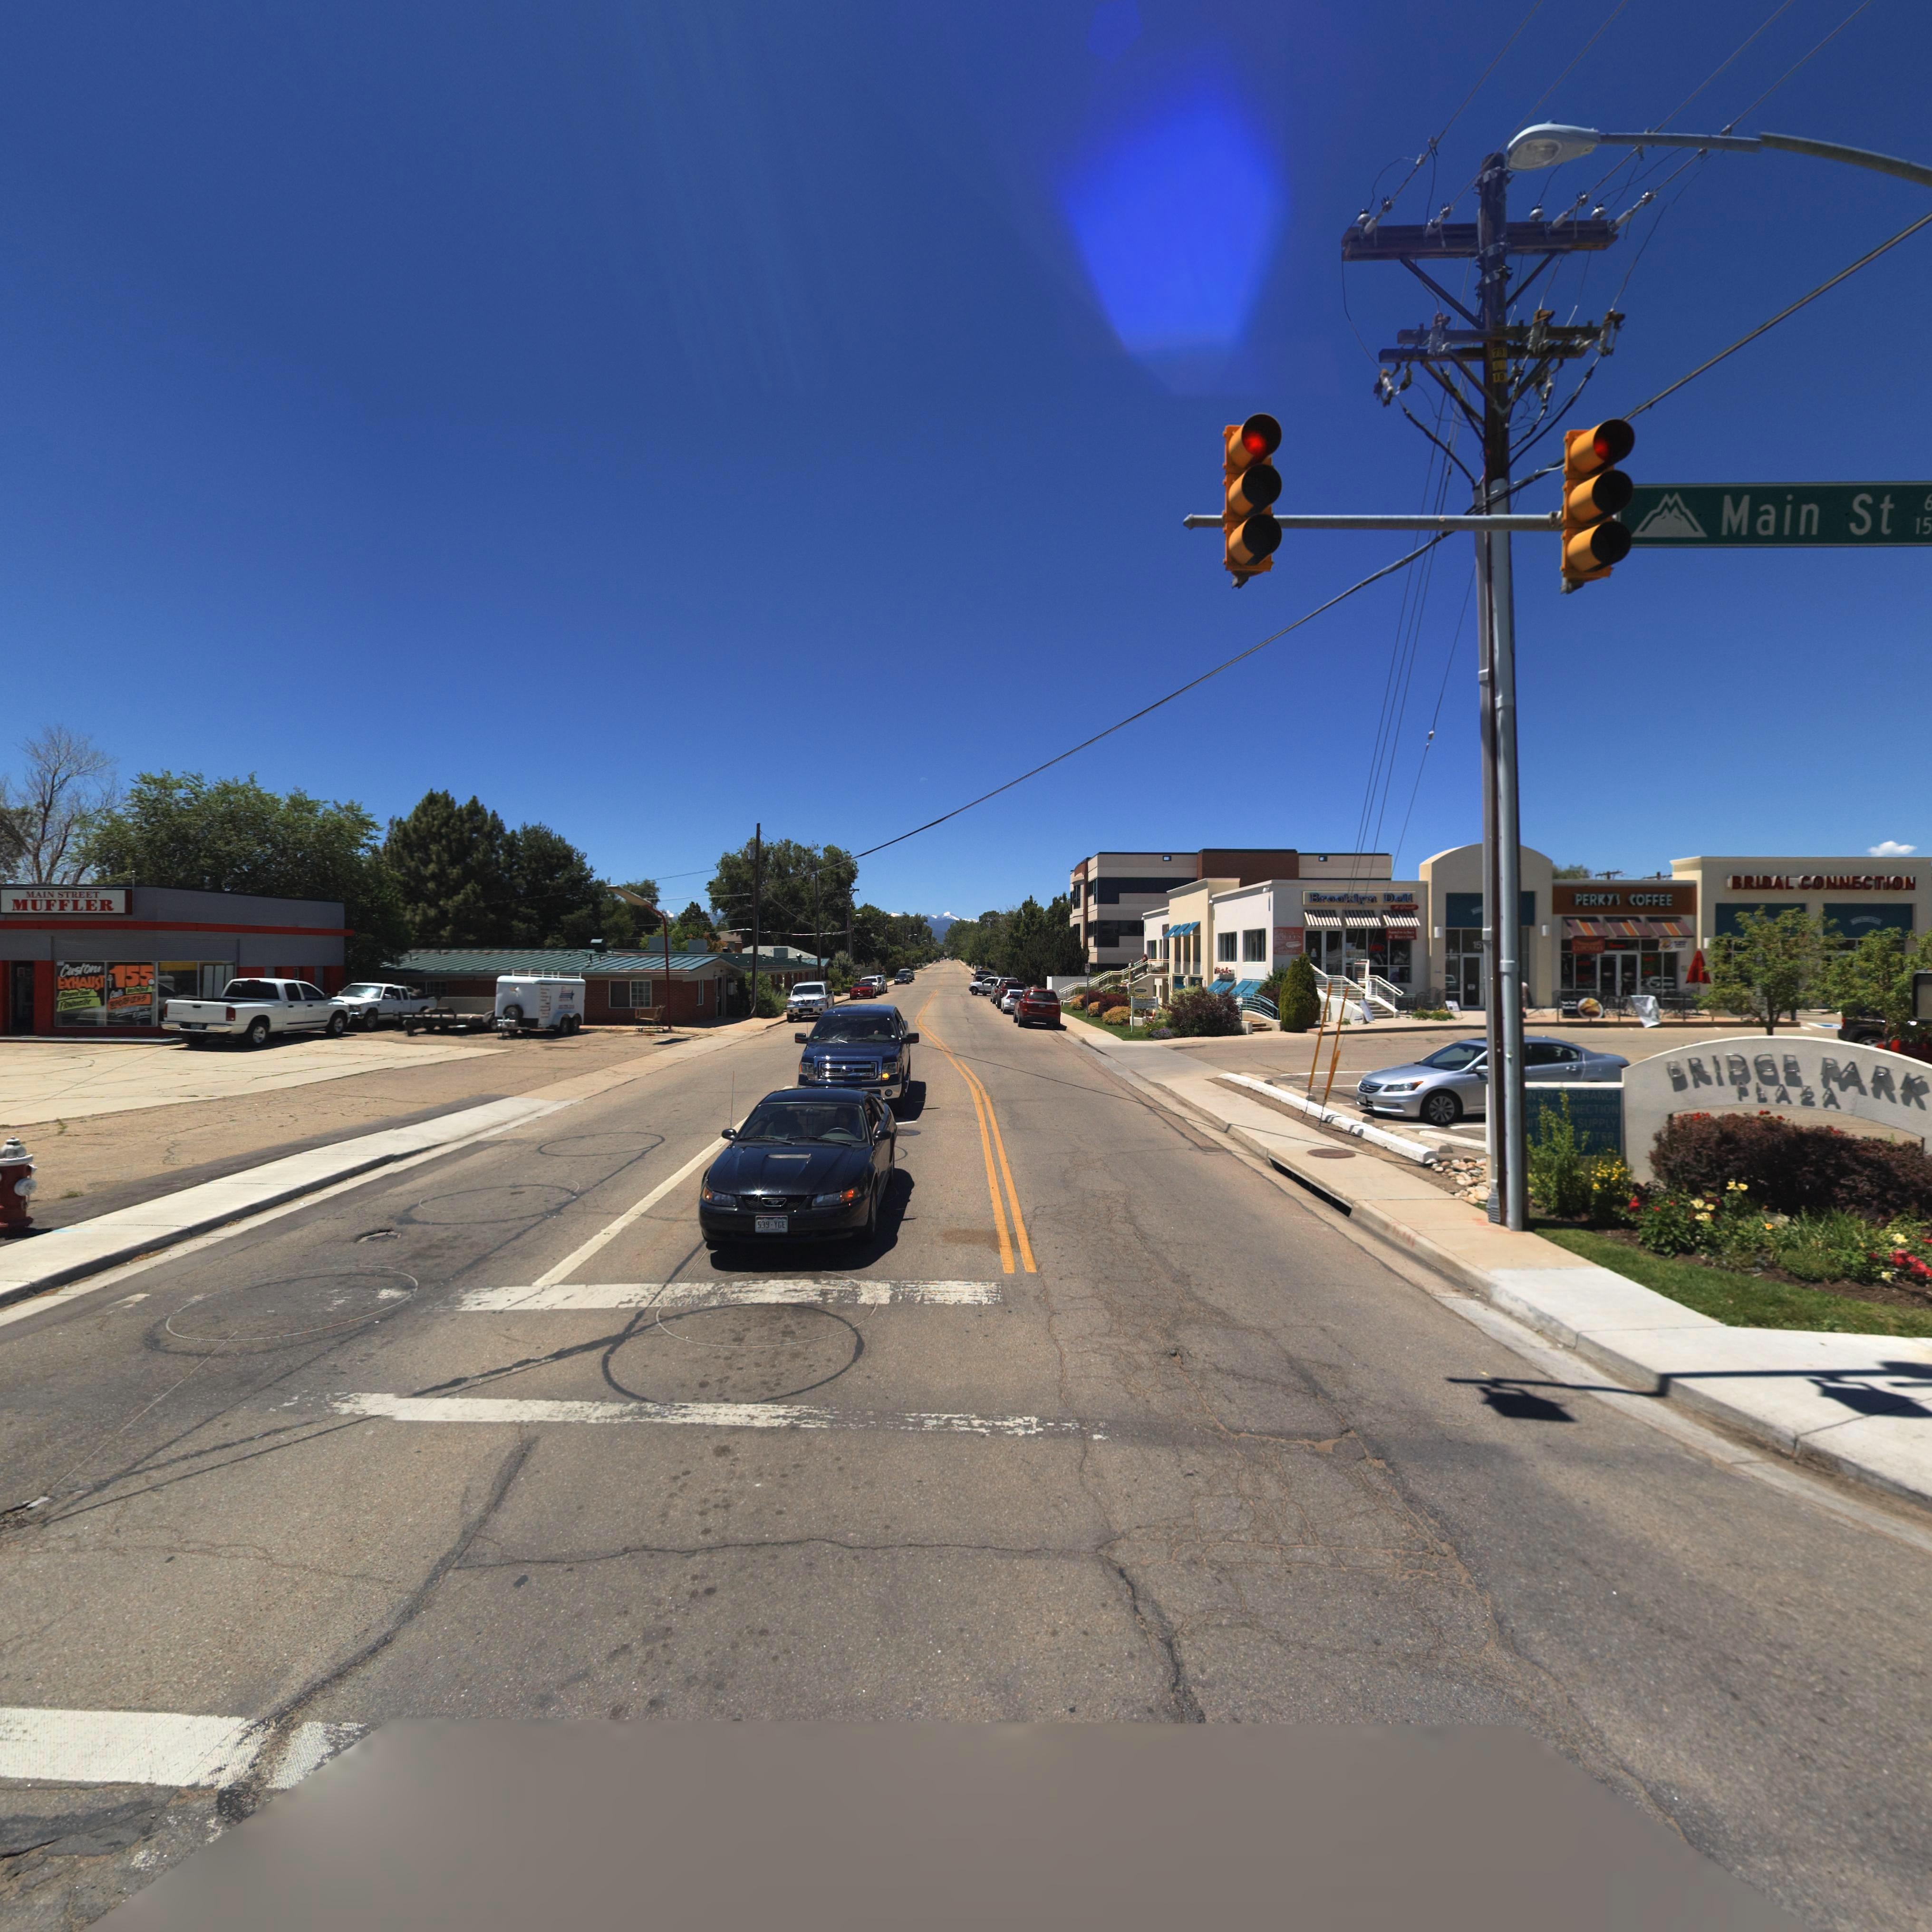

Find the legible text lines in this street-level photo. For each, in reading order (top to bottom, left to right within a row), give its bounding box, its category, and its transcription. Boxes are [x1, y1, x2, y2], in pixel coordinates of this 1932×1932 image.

[1720, 492, 1895, 538] StreetName: Main St
[1914, 516, 1931, 535] StreetNumberRange: 15
[1730, 874, 1916, 891] BusinessName: BRIDAL CONNECTION
[25, 889, 100, 898] BusinessName: MAIN STREET
[12, 899, 113, 910] BusinessName: MUFFLER
[1309, 890, 1414, 906] BusinessName: Brooklyn Deli
[1575, 893, 1673, 906] BusinessName: PERKY'S COFFEE
[1528, 1090, 1618, 1101] BusinessName: NTRY **SURANCE
[1530, 1103, 1619, 1115] BusinessName: A* ***NECTION
[1529, 1117, 1618, 1129] BusinessName: IT*** SUPPLY
[1534, 1131, 1614, 1142] BusinessName: P*** ****UTER